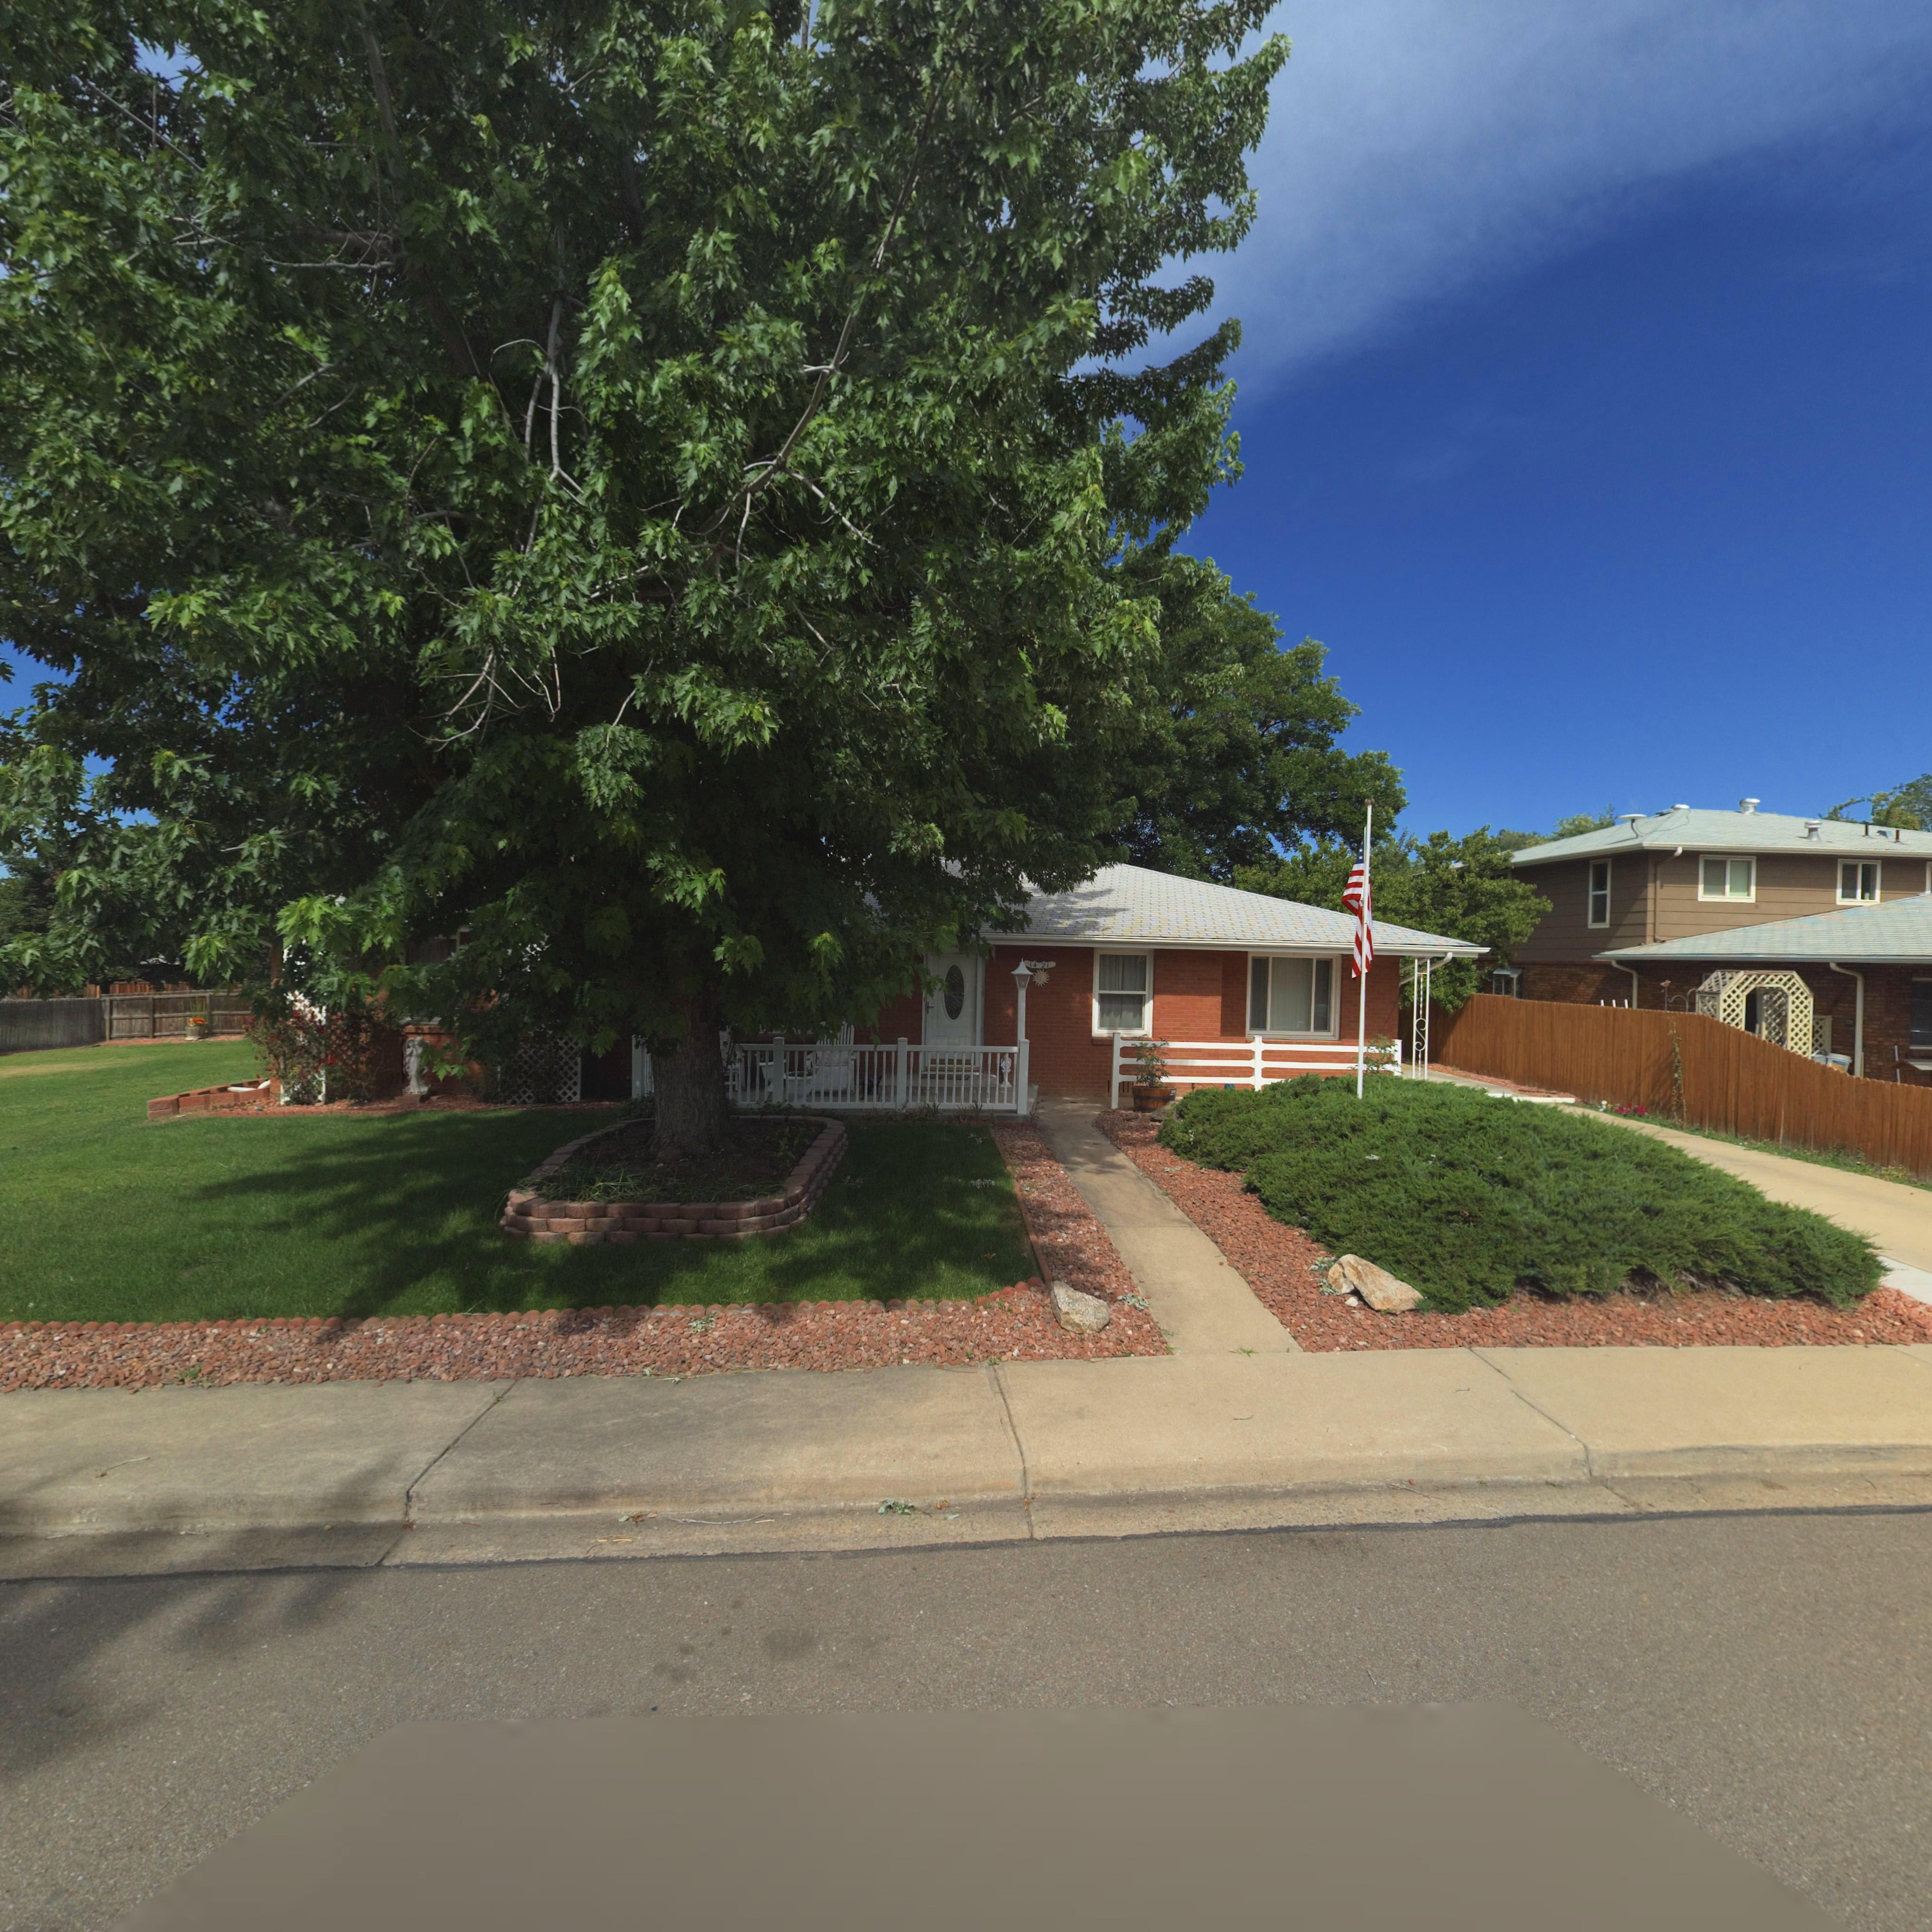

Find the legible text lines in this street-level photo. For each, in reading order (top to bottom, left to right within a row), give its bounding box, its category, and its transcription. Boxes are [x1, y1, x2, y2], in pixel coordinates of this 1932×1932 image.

[1029, 961, 1049, 968] StreetNumber: 1421